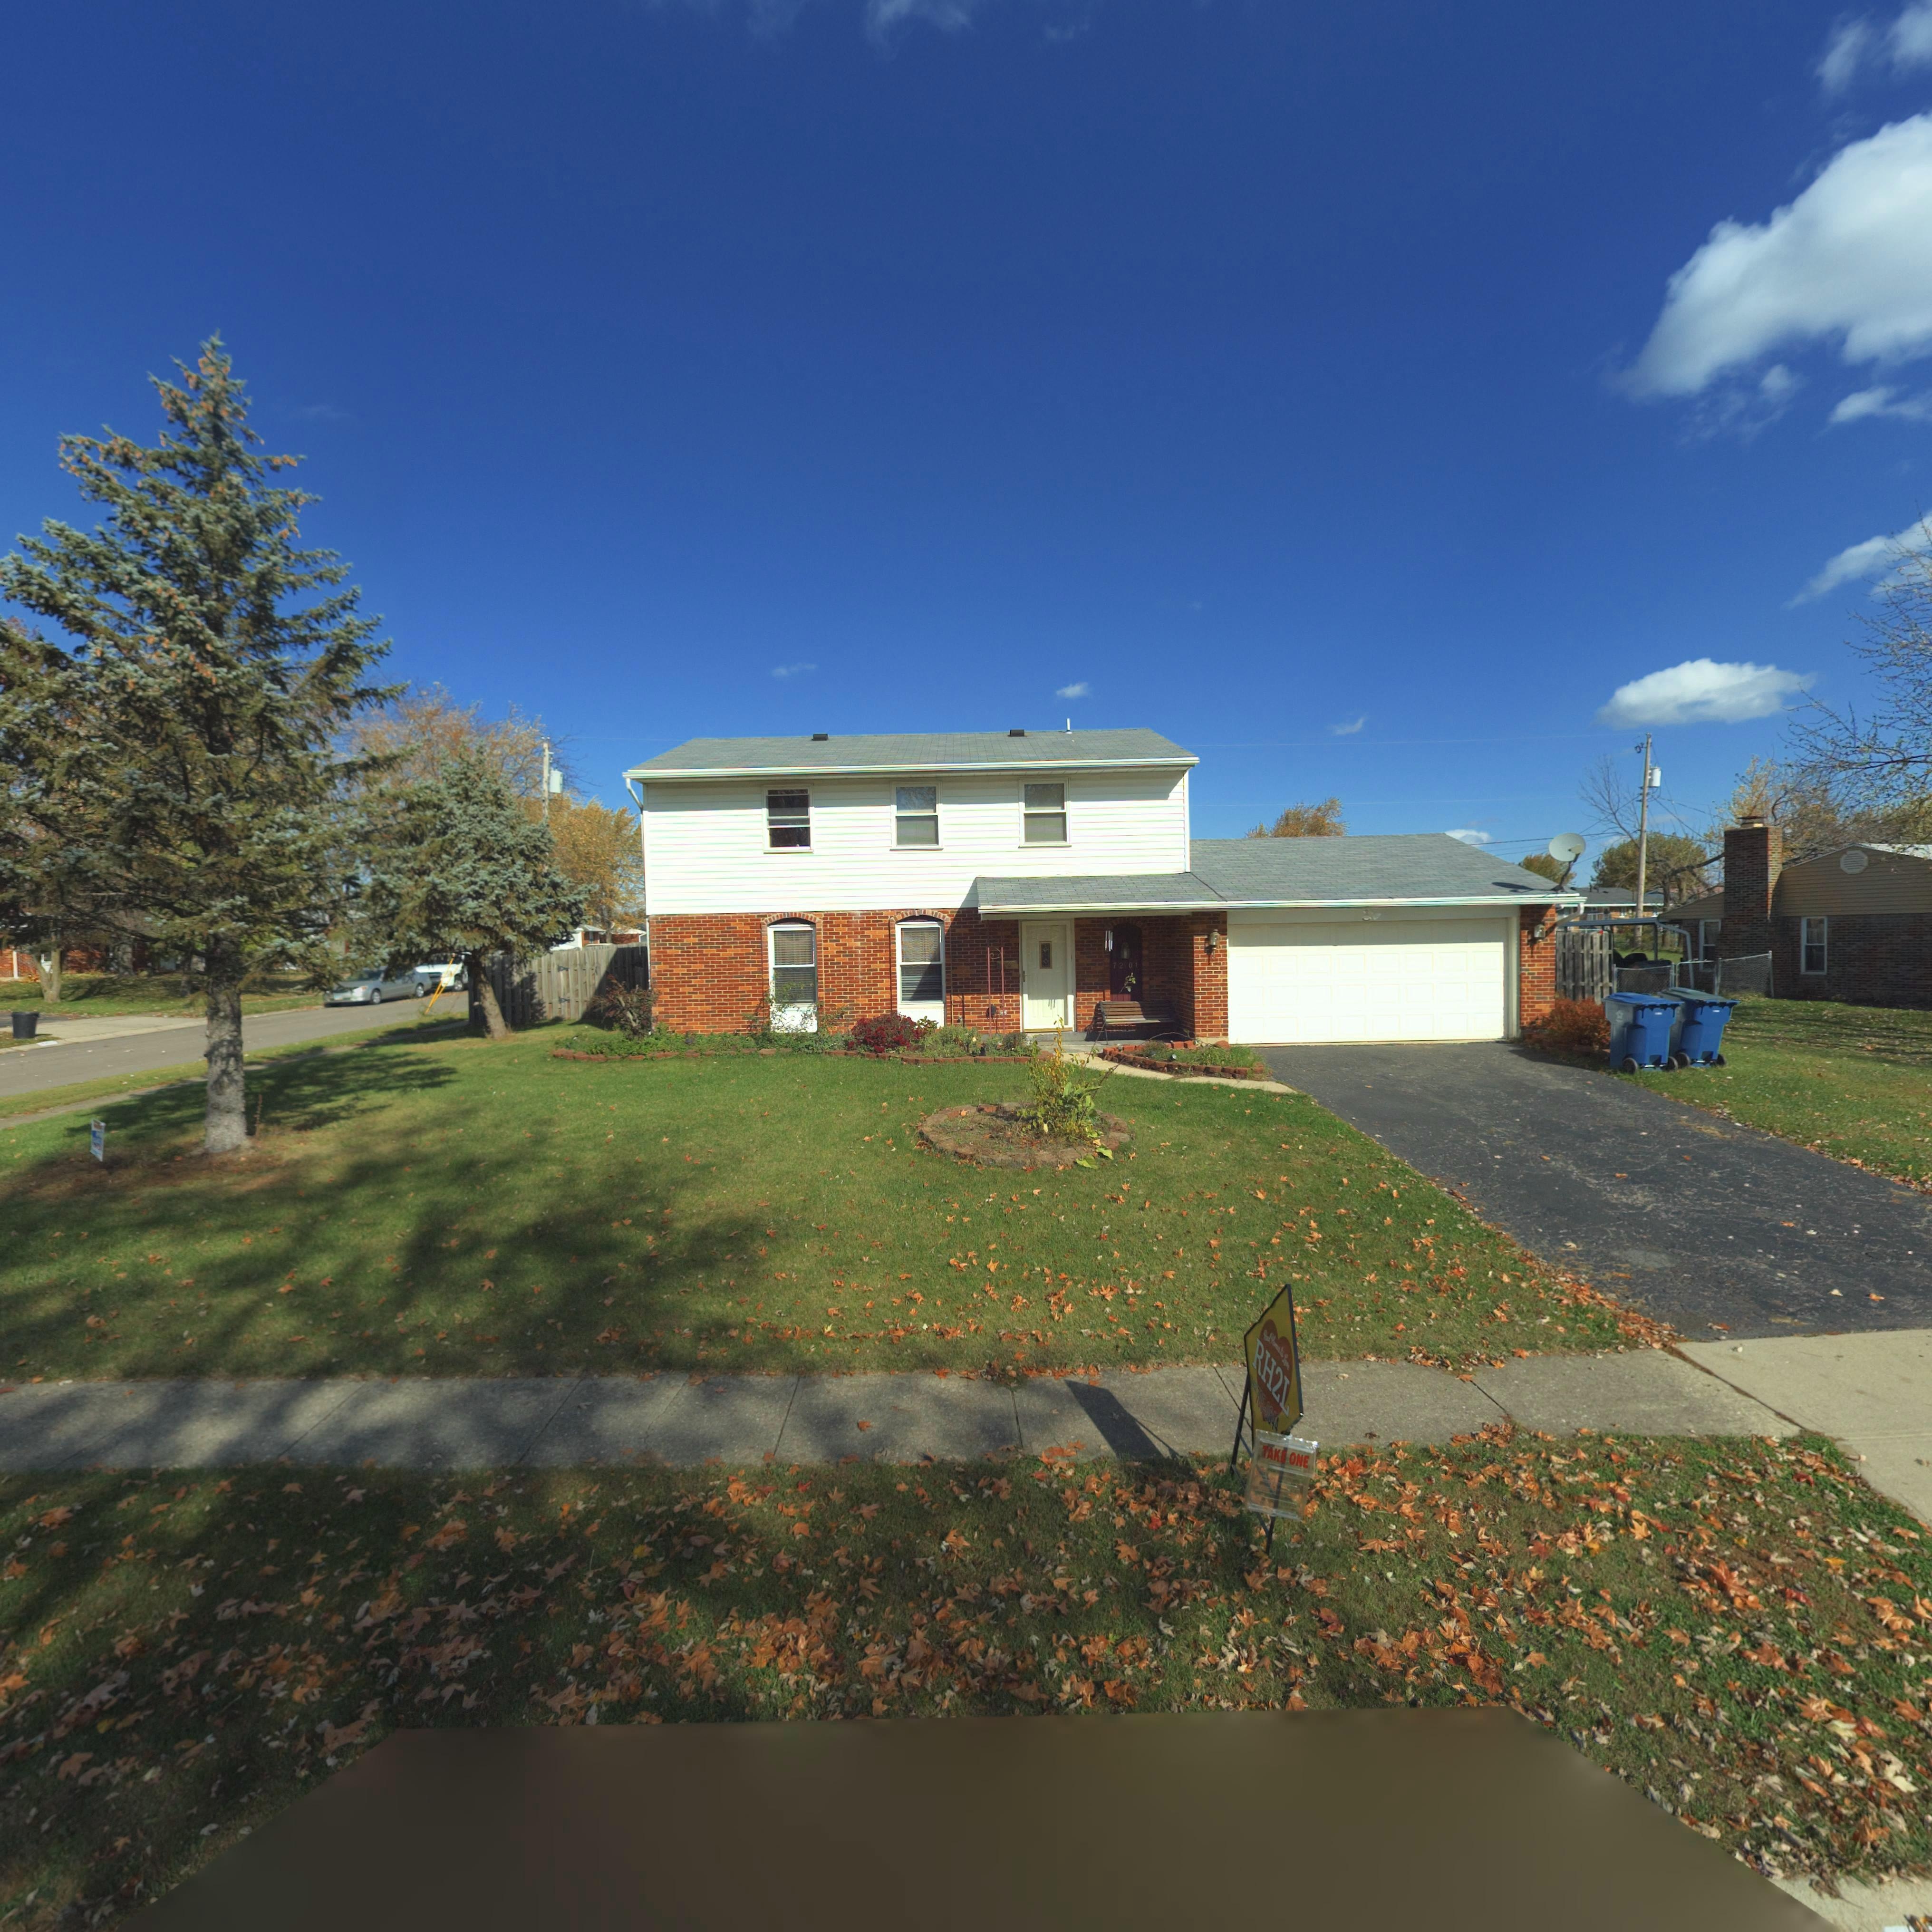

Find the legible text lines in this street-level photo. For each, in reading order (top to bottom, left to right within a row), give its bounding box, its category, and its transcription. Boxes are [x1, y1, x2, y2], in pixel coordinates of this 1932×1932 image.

[1112, 961, 1139, 970] StreetNumber: 72 01